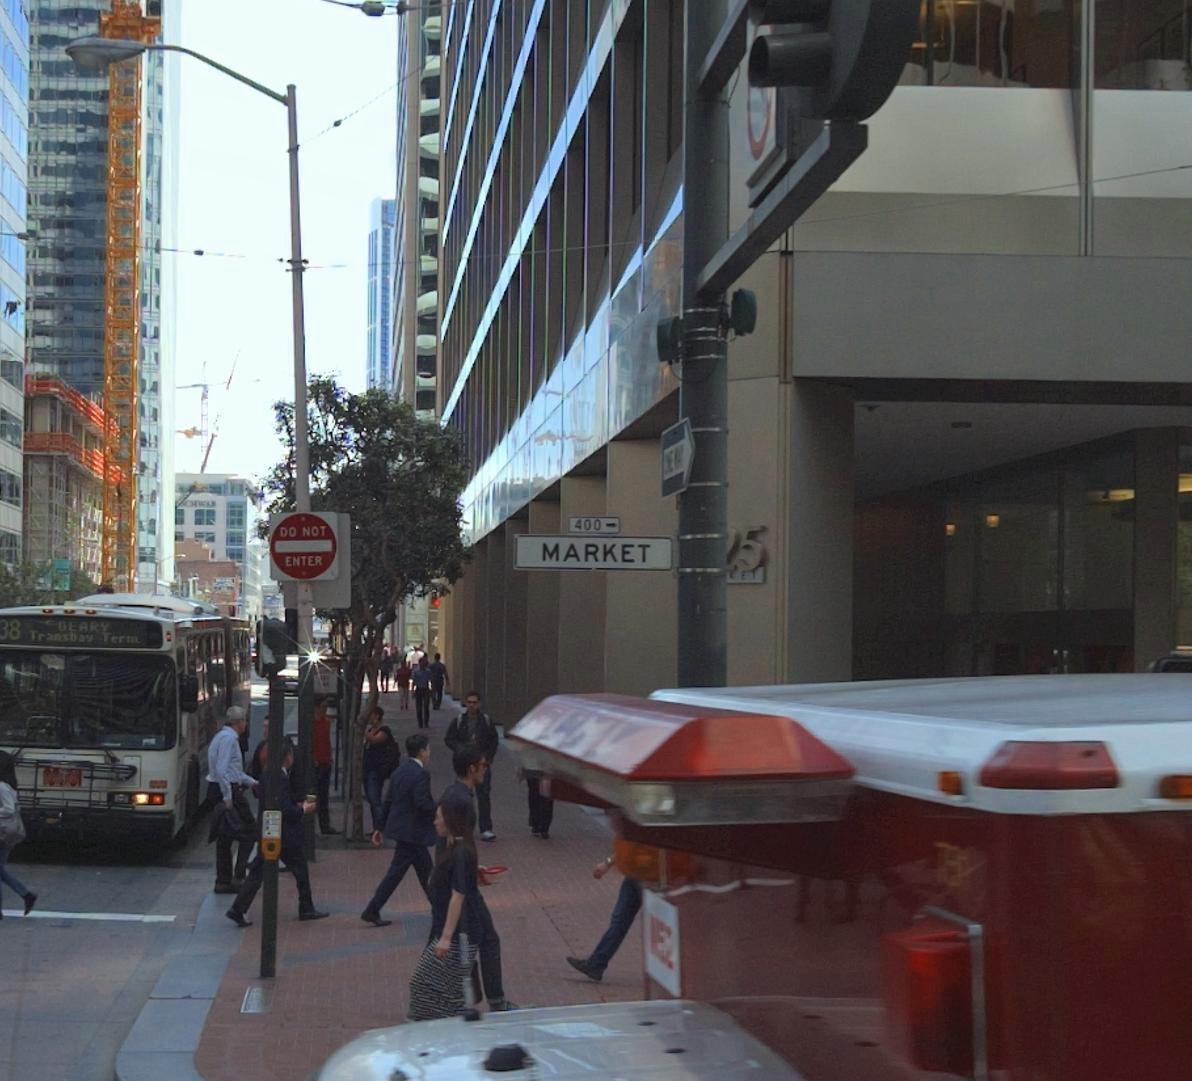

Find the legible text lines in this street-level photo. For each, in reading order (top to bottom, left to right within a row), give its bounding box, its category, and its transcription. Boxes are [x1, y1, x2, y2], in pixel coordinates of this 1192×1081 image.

[279, 525, 327, 538] None: DO NOT
[572, 517, 617, 531] StreetNumberRange: 400->
[282, 554, 323, 568] None: ENTER
[541, 540, 653, 564] StreetName: MARKET
[732, 523, 771, 574] None: 5
[0, 618, 20, 640] None: 38
[56, 619, 109, 631] StreetName: GEARY
[27, 628, 141, 646] None: Transbay Term